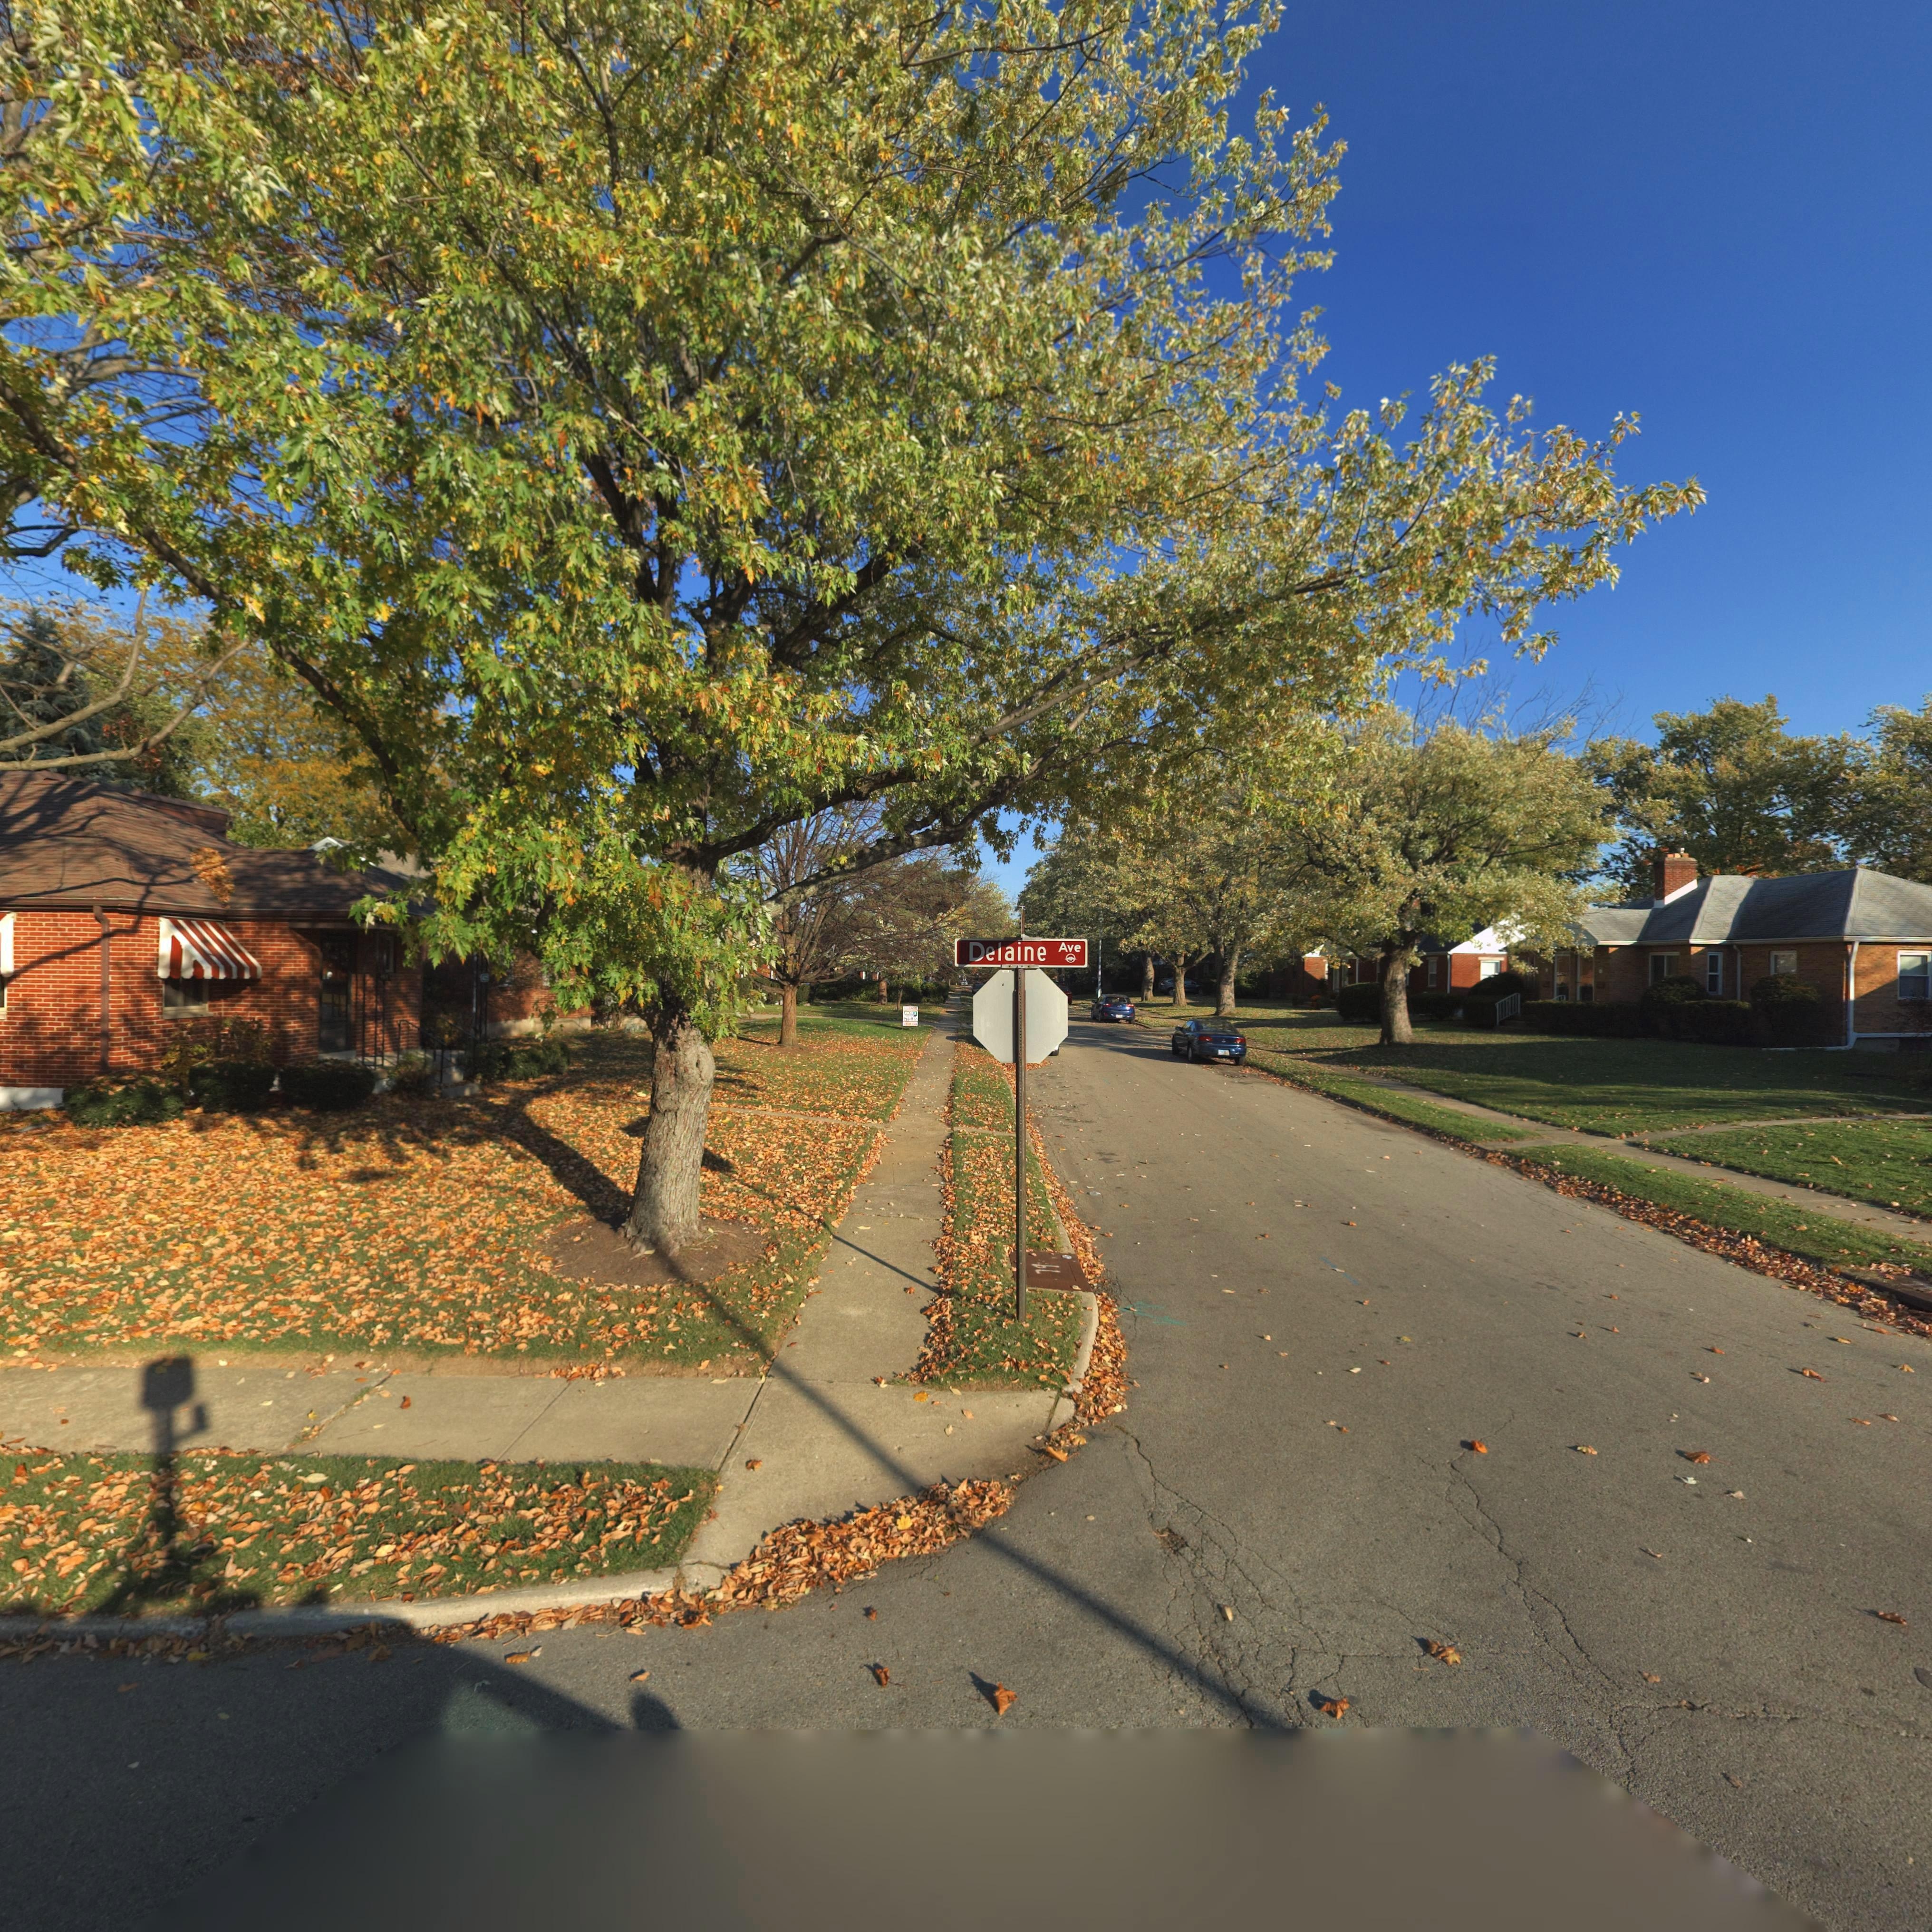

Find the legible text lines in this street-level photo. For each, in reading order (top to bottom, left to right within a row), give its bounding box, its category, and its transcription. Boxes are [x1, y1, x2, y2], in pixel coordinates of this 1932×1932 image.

[967, 941, 1082, 963] StreetName: Delaine Ave